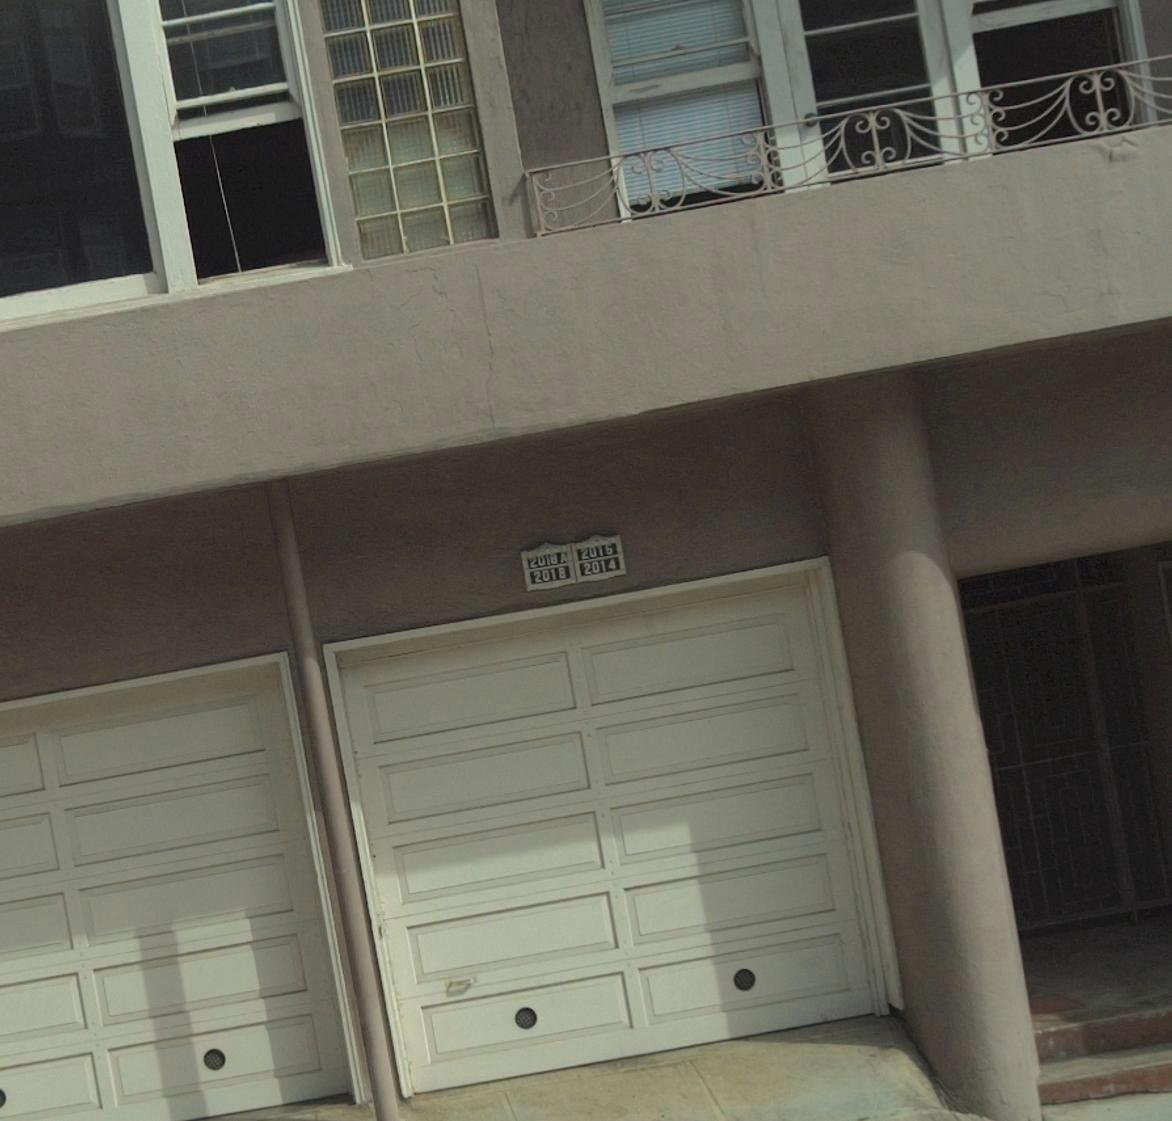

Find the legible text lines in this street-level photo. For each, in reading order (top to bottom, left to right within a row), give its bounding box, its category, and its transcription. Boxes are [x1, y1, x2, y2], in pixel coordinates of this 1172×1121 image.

[526, 549, 571, 572] StreetNumber: 2018 A
[530, 564, 570, 586] StreetNumber: 2018
[577, 540, 617, 562] StreetNumber: 2016
[580, 555, 620, 577] StreetNumber: 2014